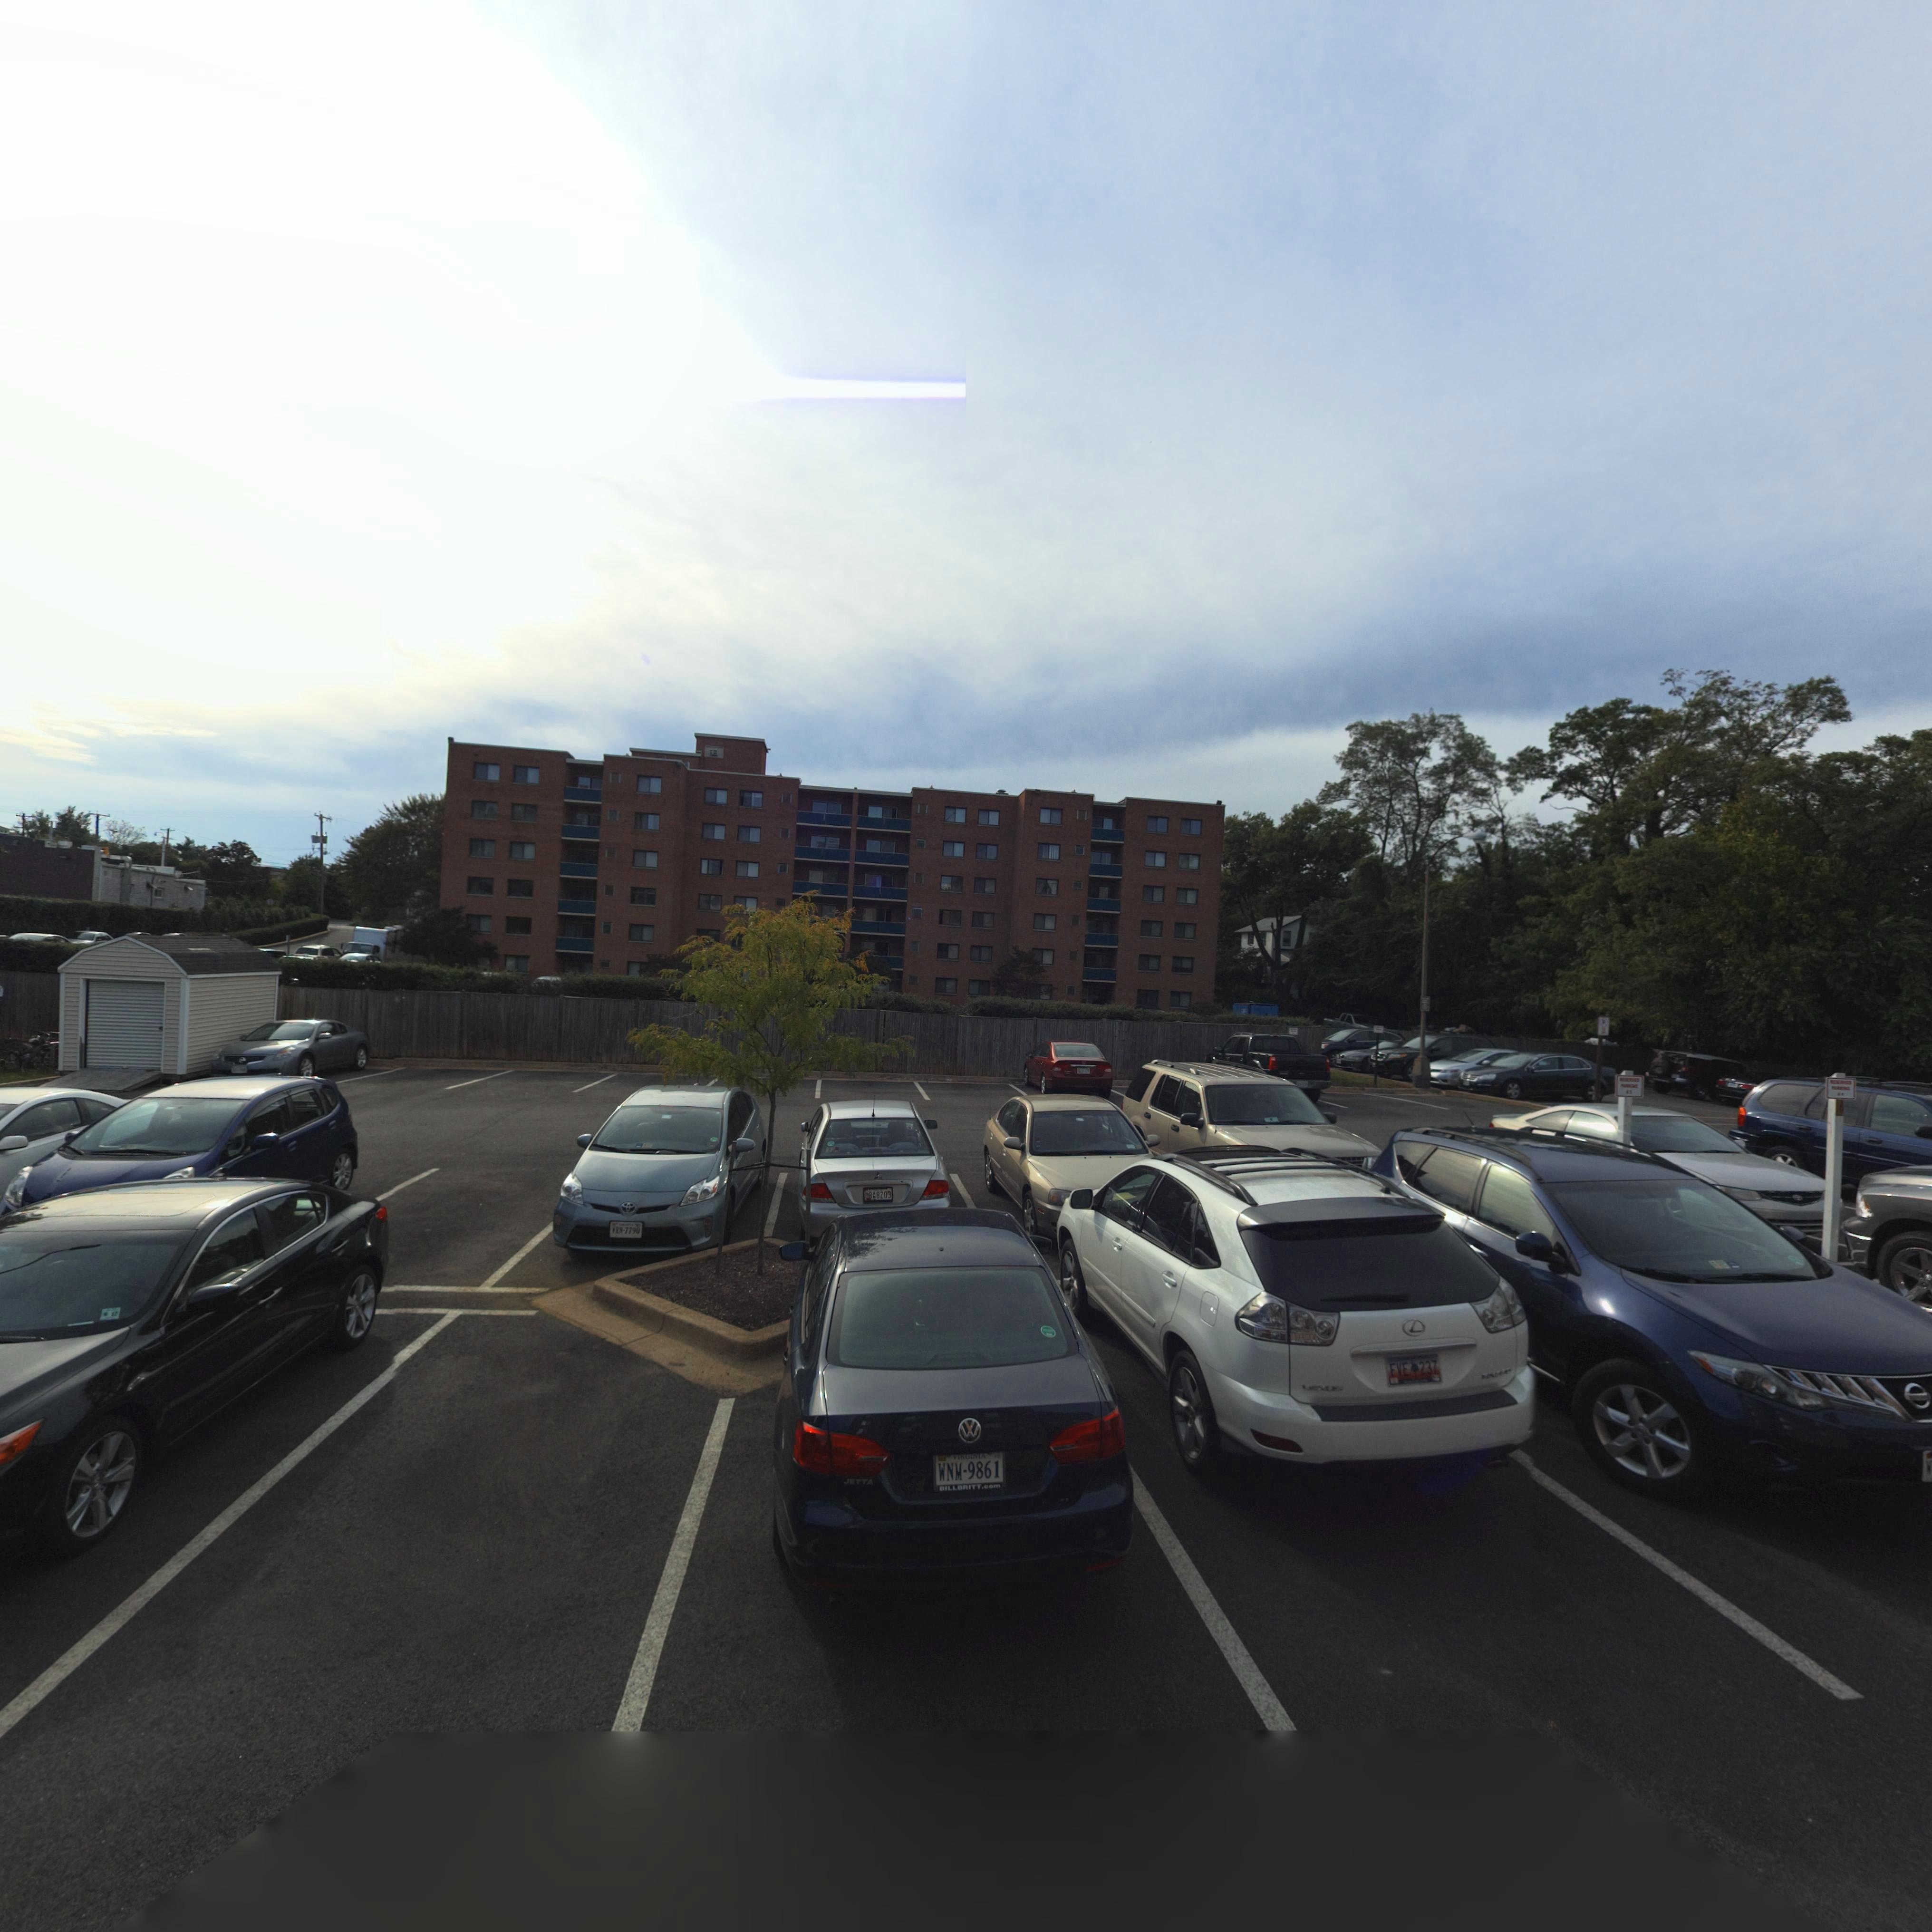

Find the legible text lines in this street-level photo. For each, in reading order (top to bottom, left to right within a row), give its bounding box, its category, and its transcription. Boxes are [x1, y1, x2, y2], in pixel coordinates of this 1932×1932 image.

[868, 1191, 873, 1199] None: B
[872, 1191, 877, 1200] None: AN
[876, 1190, 892, 1199] None: 8203
[615, 1226, 641, 1235] None: RN-7790
[110, 1311, 116, 1317] None: 1
[1389, 1359, 1439, 1379] None: FVE*237
[952, 1452, 981, 1460] None: VI*GINI
[937, 1459, 1001, 1483] None: WNM-9861
[842, 1478, 875, 1486] None: JETTA
[939, 1483, 1002, 1492] None: BILLBRITT.com